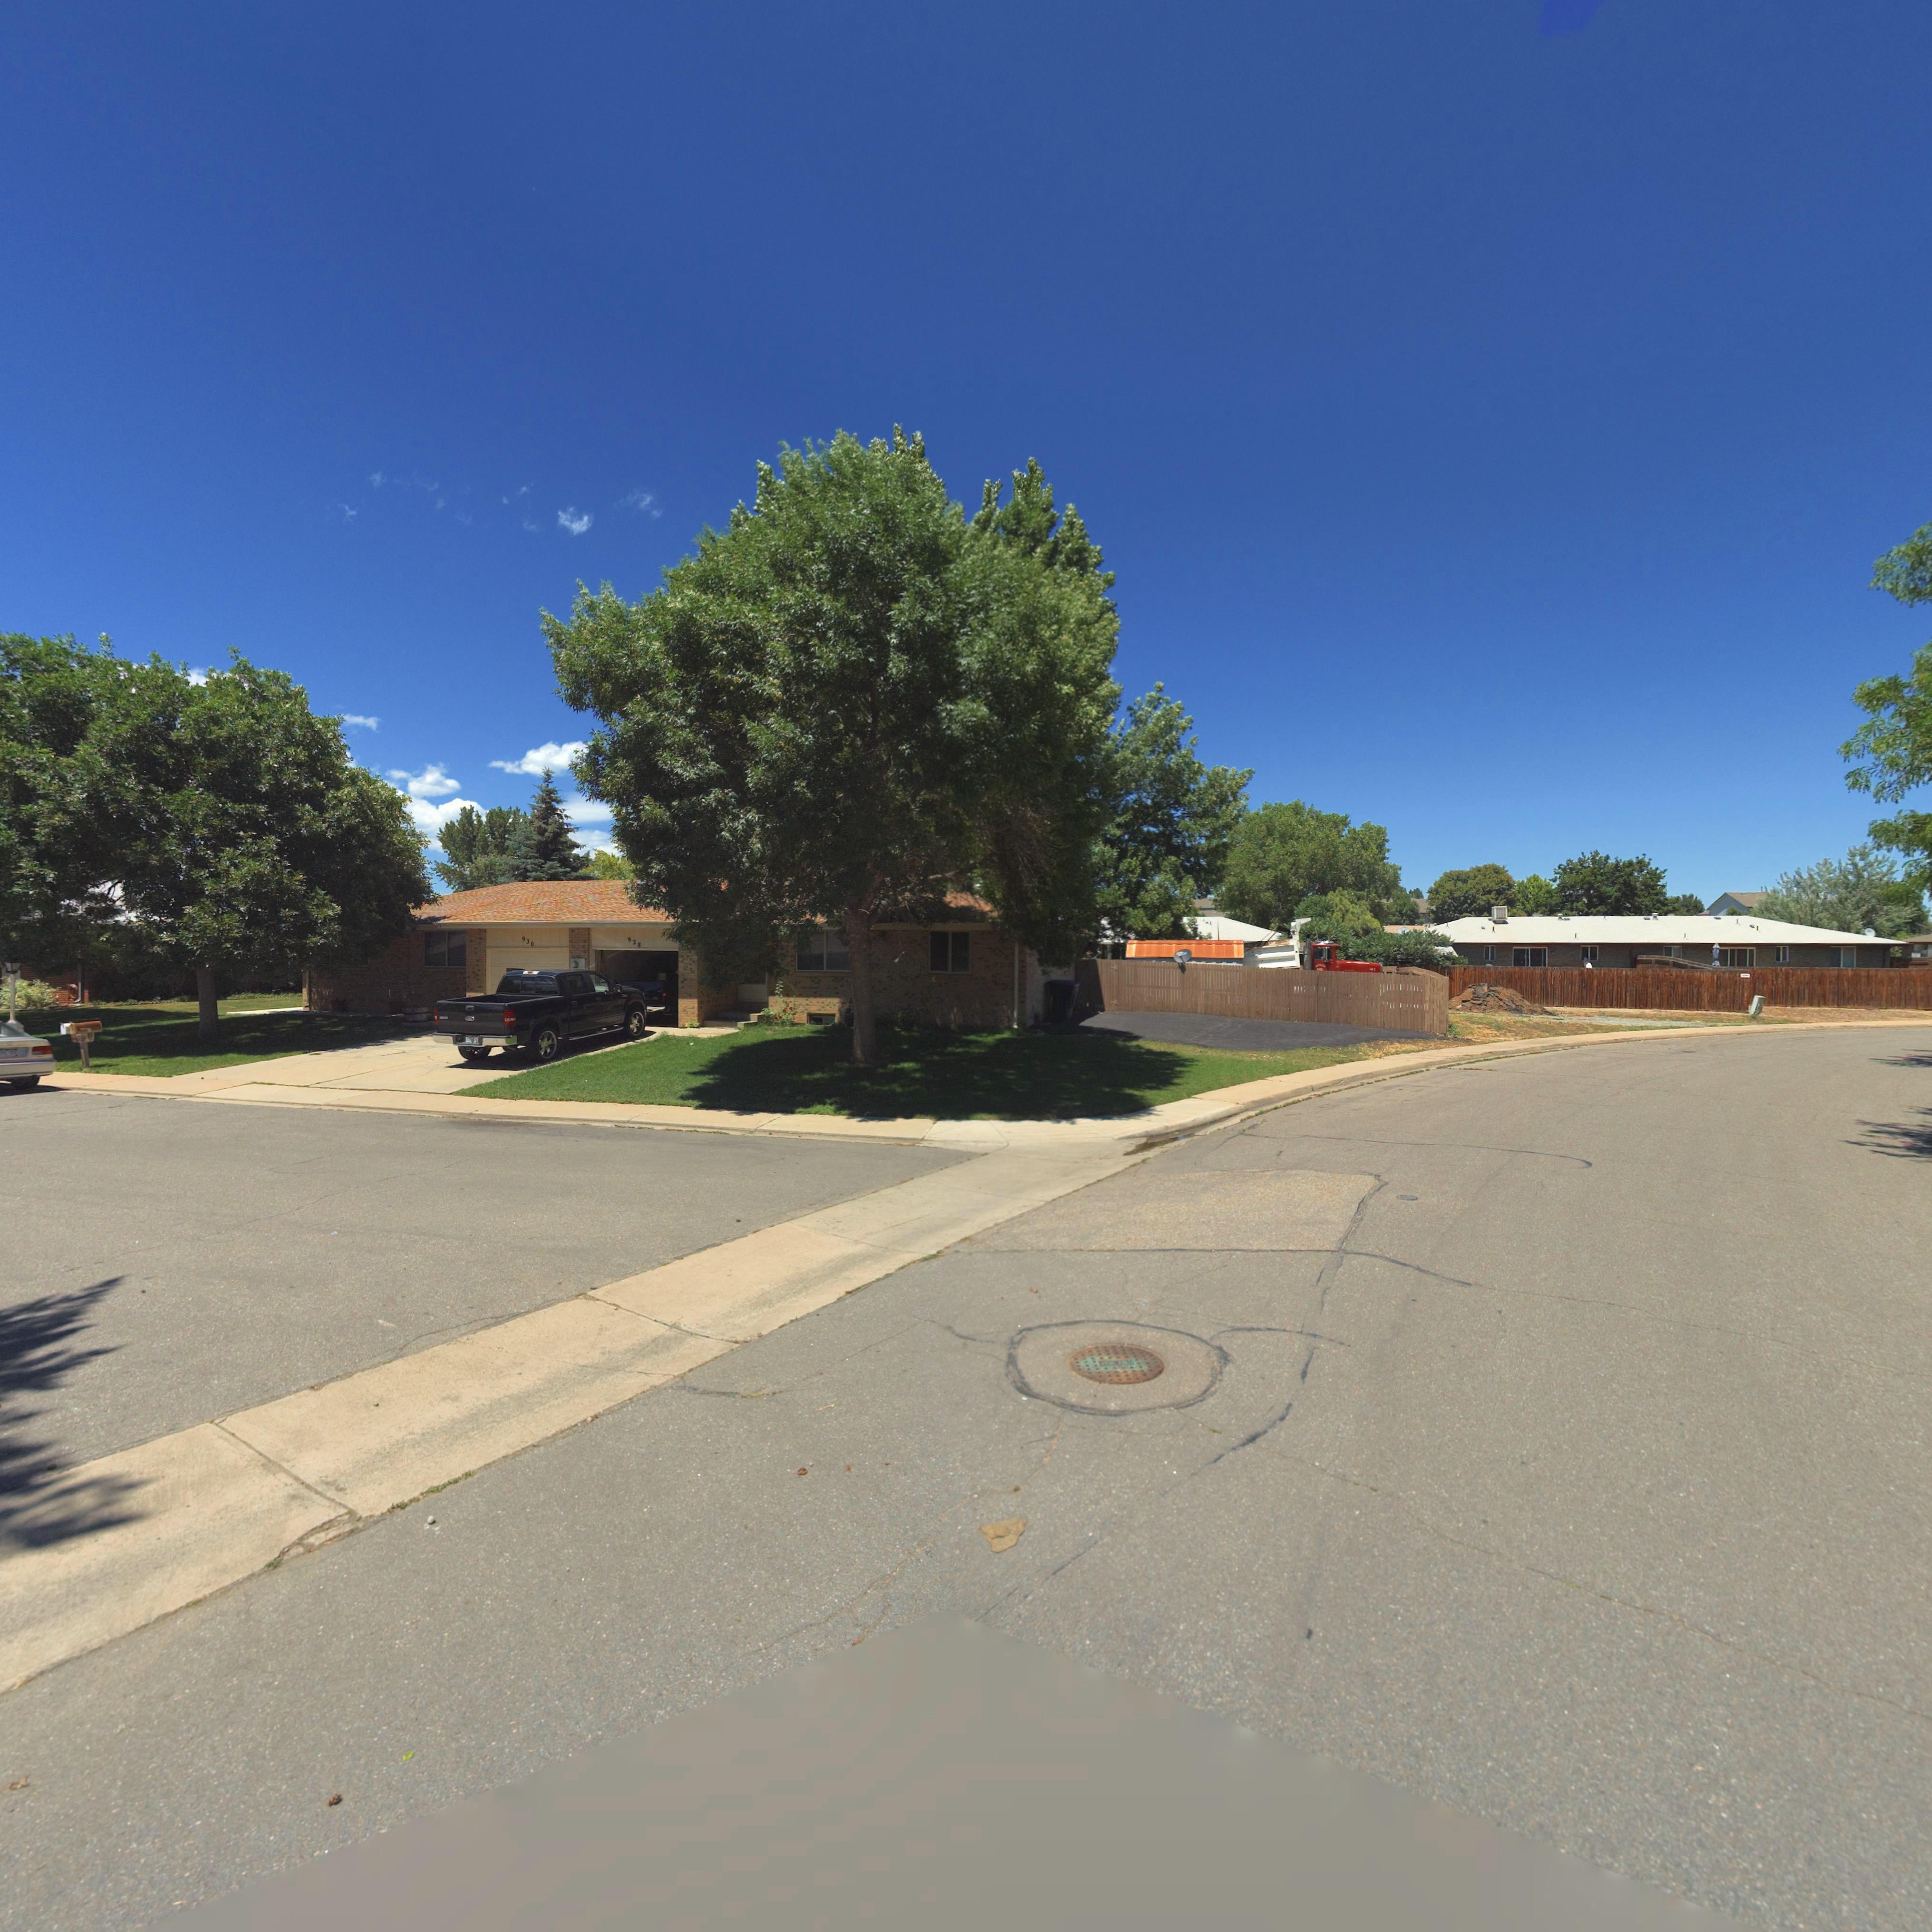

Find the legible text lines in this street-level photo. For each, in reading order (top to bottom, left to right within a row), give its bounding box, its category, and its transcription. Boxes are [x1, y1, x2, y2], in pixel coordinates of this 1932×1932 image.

[522, 936, 534, 947] StreetNumber: 930
[627, 937, 641, 948] StreetNumber: 928